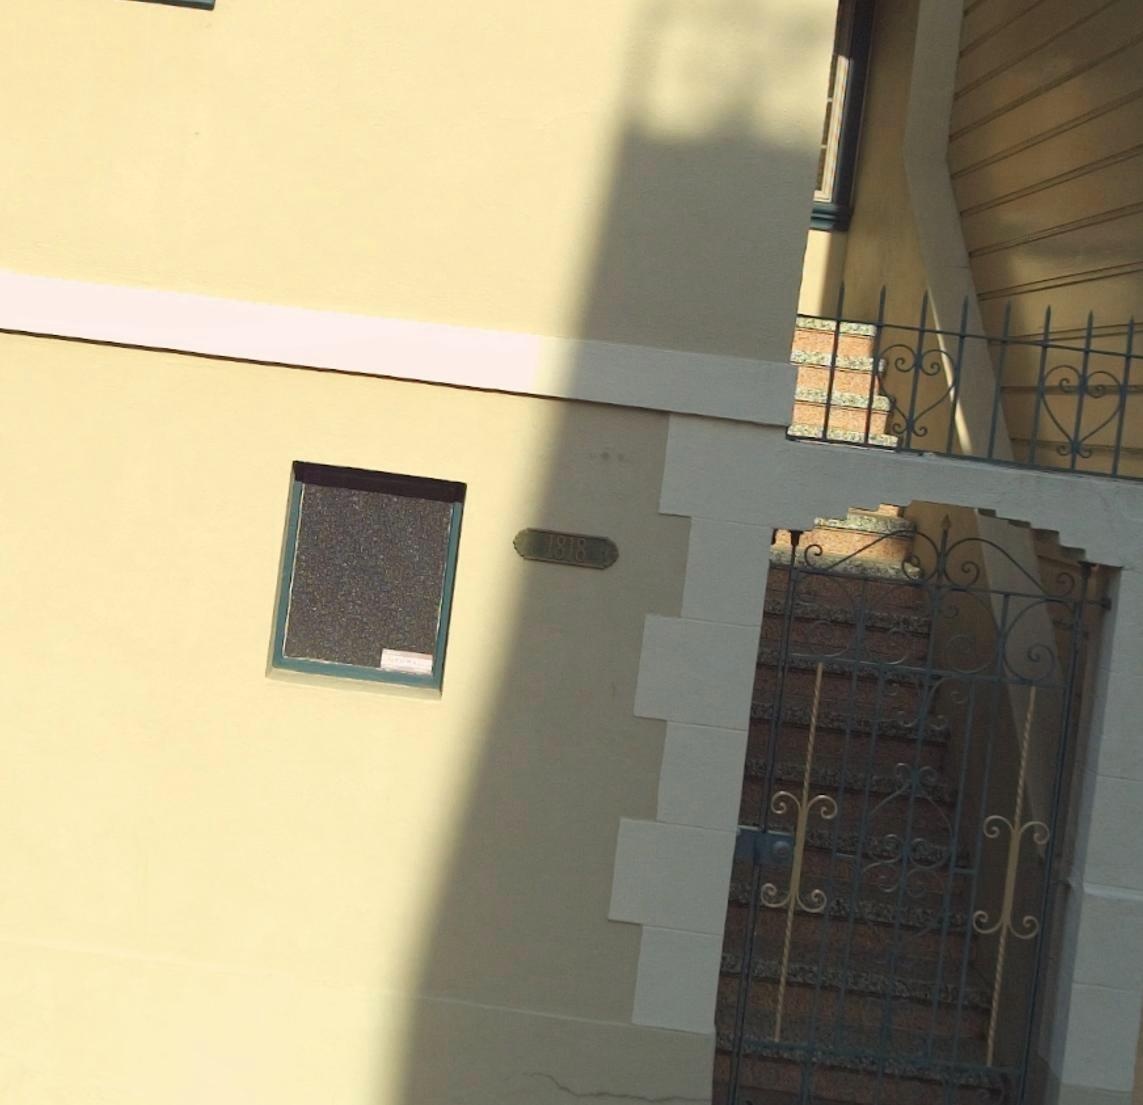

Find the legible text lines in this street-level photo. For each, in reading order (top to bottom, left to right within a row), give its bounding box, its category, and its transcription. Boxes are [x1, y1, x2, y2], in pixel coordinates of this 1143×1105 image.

[543, 531, 590, 567] StreetNumber: 1818